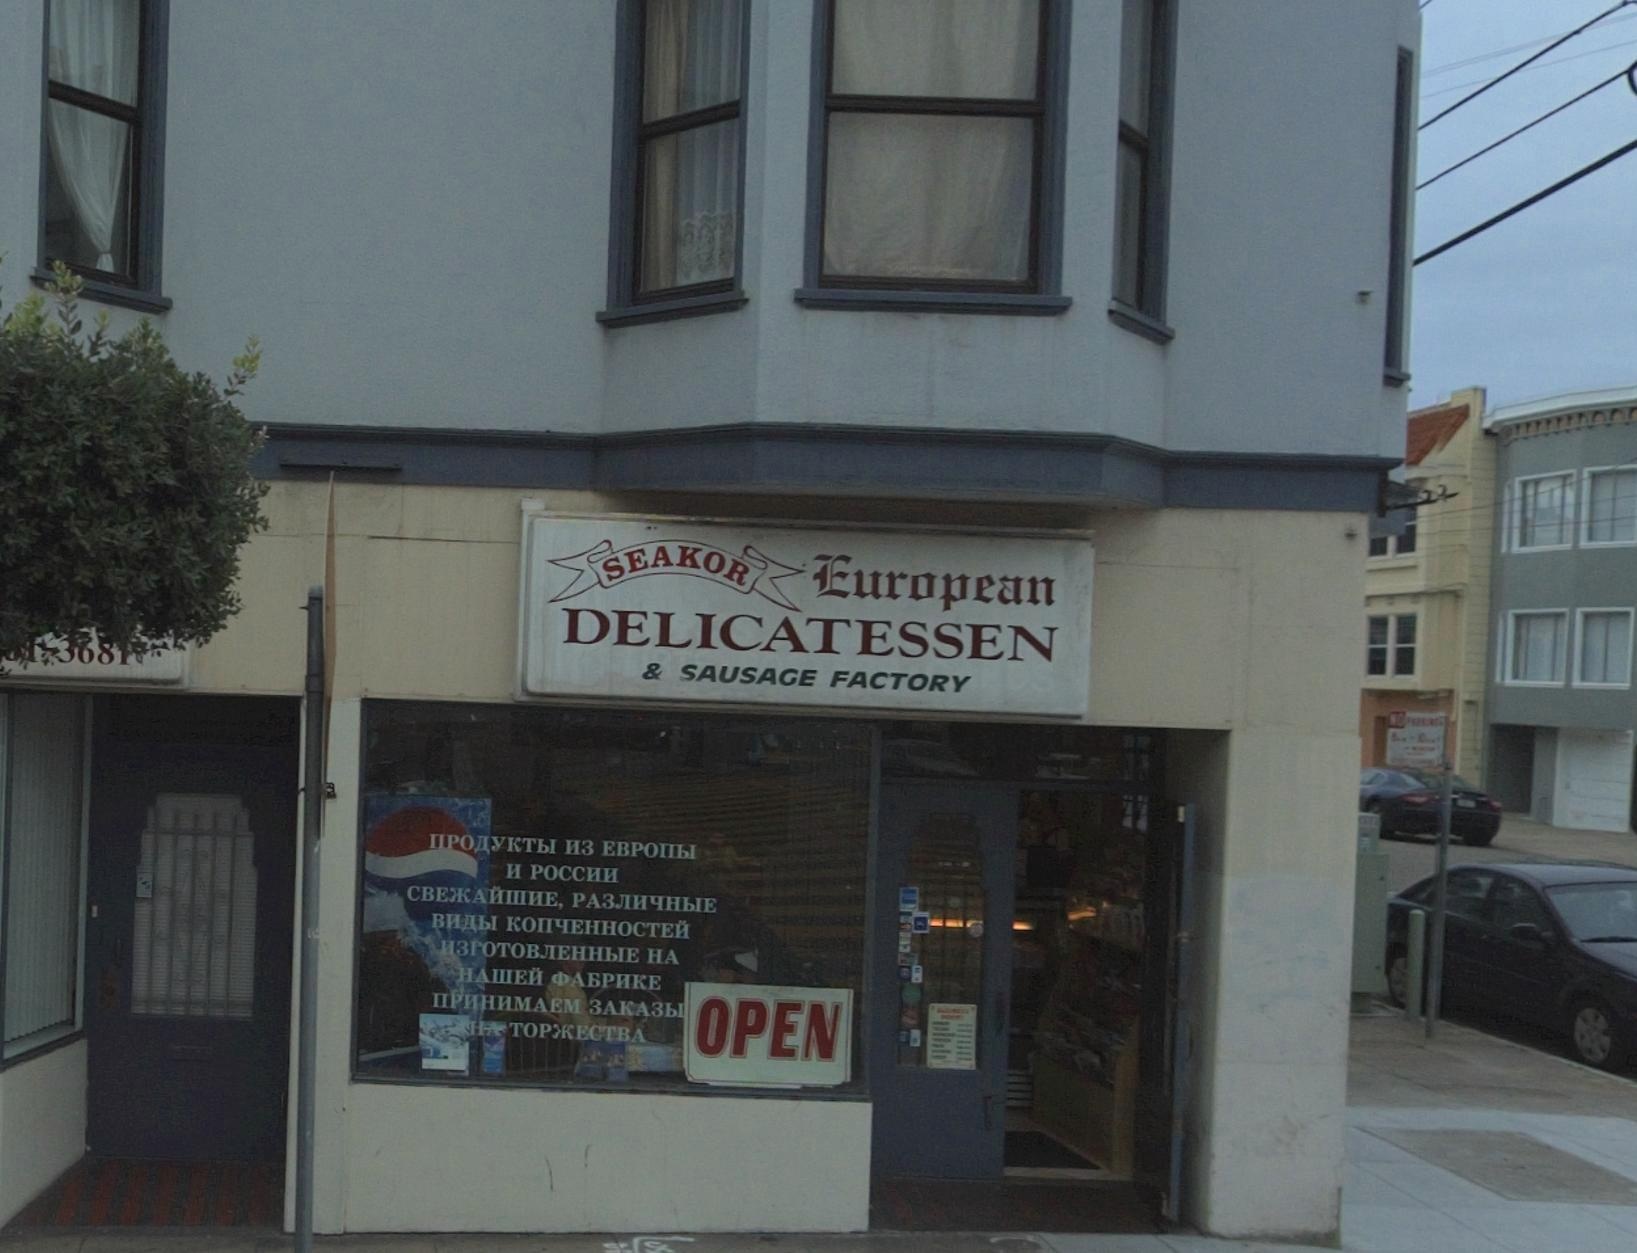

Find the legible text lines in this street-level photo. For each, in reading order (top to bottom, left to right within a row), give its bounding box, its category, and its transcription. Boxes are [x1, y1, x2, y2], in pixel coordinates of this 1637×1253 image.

[597, 542, 1060, 615] BusinessName: SEAKOR European
[557, 604, 1062, 666] BusinessName: DELICATESSEN
[677, 661, 976, 696] BusinessName: SAUSAGE FACTORY
[1394, 710, 1407, 729] None: O
[424, 829, 700, 862] None: *PO*YKTbI *3 EBPO*bI
[527, 863, 624, 885] None: POCC**
[402, 883, 720, 915] None: CBE*A***E, PA3***HbIE
[429, 910, 692, 941] None: B**bI KO**EHHOCTE*
[455, 937, 682, 968] None: 3*OTOB*EHHbIE HA
[455, 964, 663, 993] None: HA*E* *A*P*KE
[428, 990, 686, 1020] None: *P**MAEM 3AKA3bI
[467, 1018, 650, 1046] None: HA TOP*KECTBA
[691, 994, 847, 1065] None: OPEN